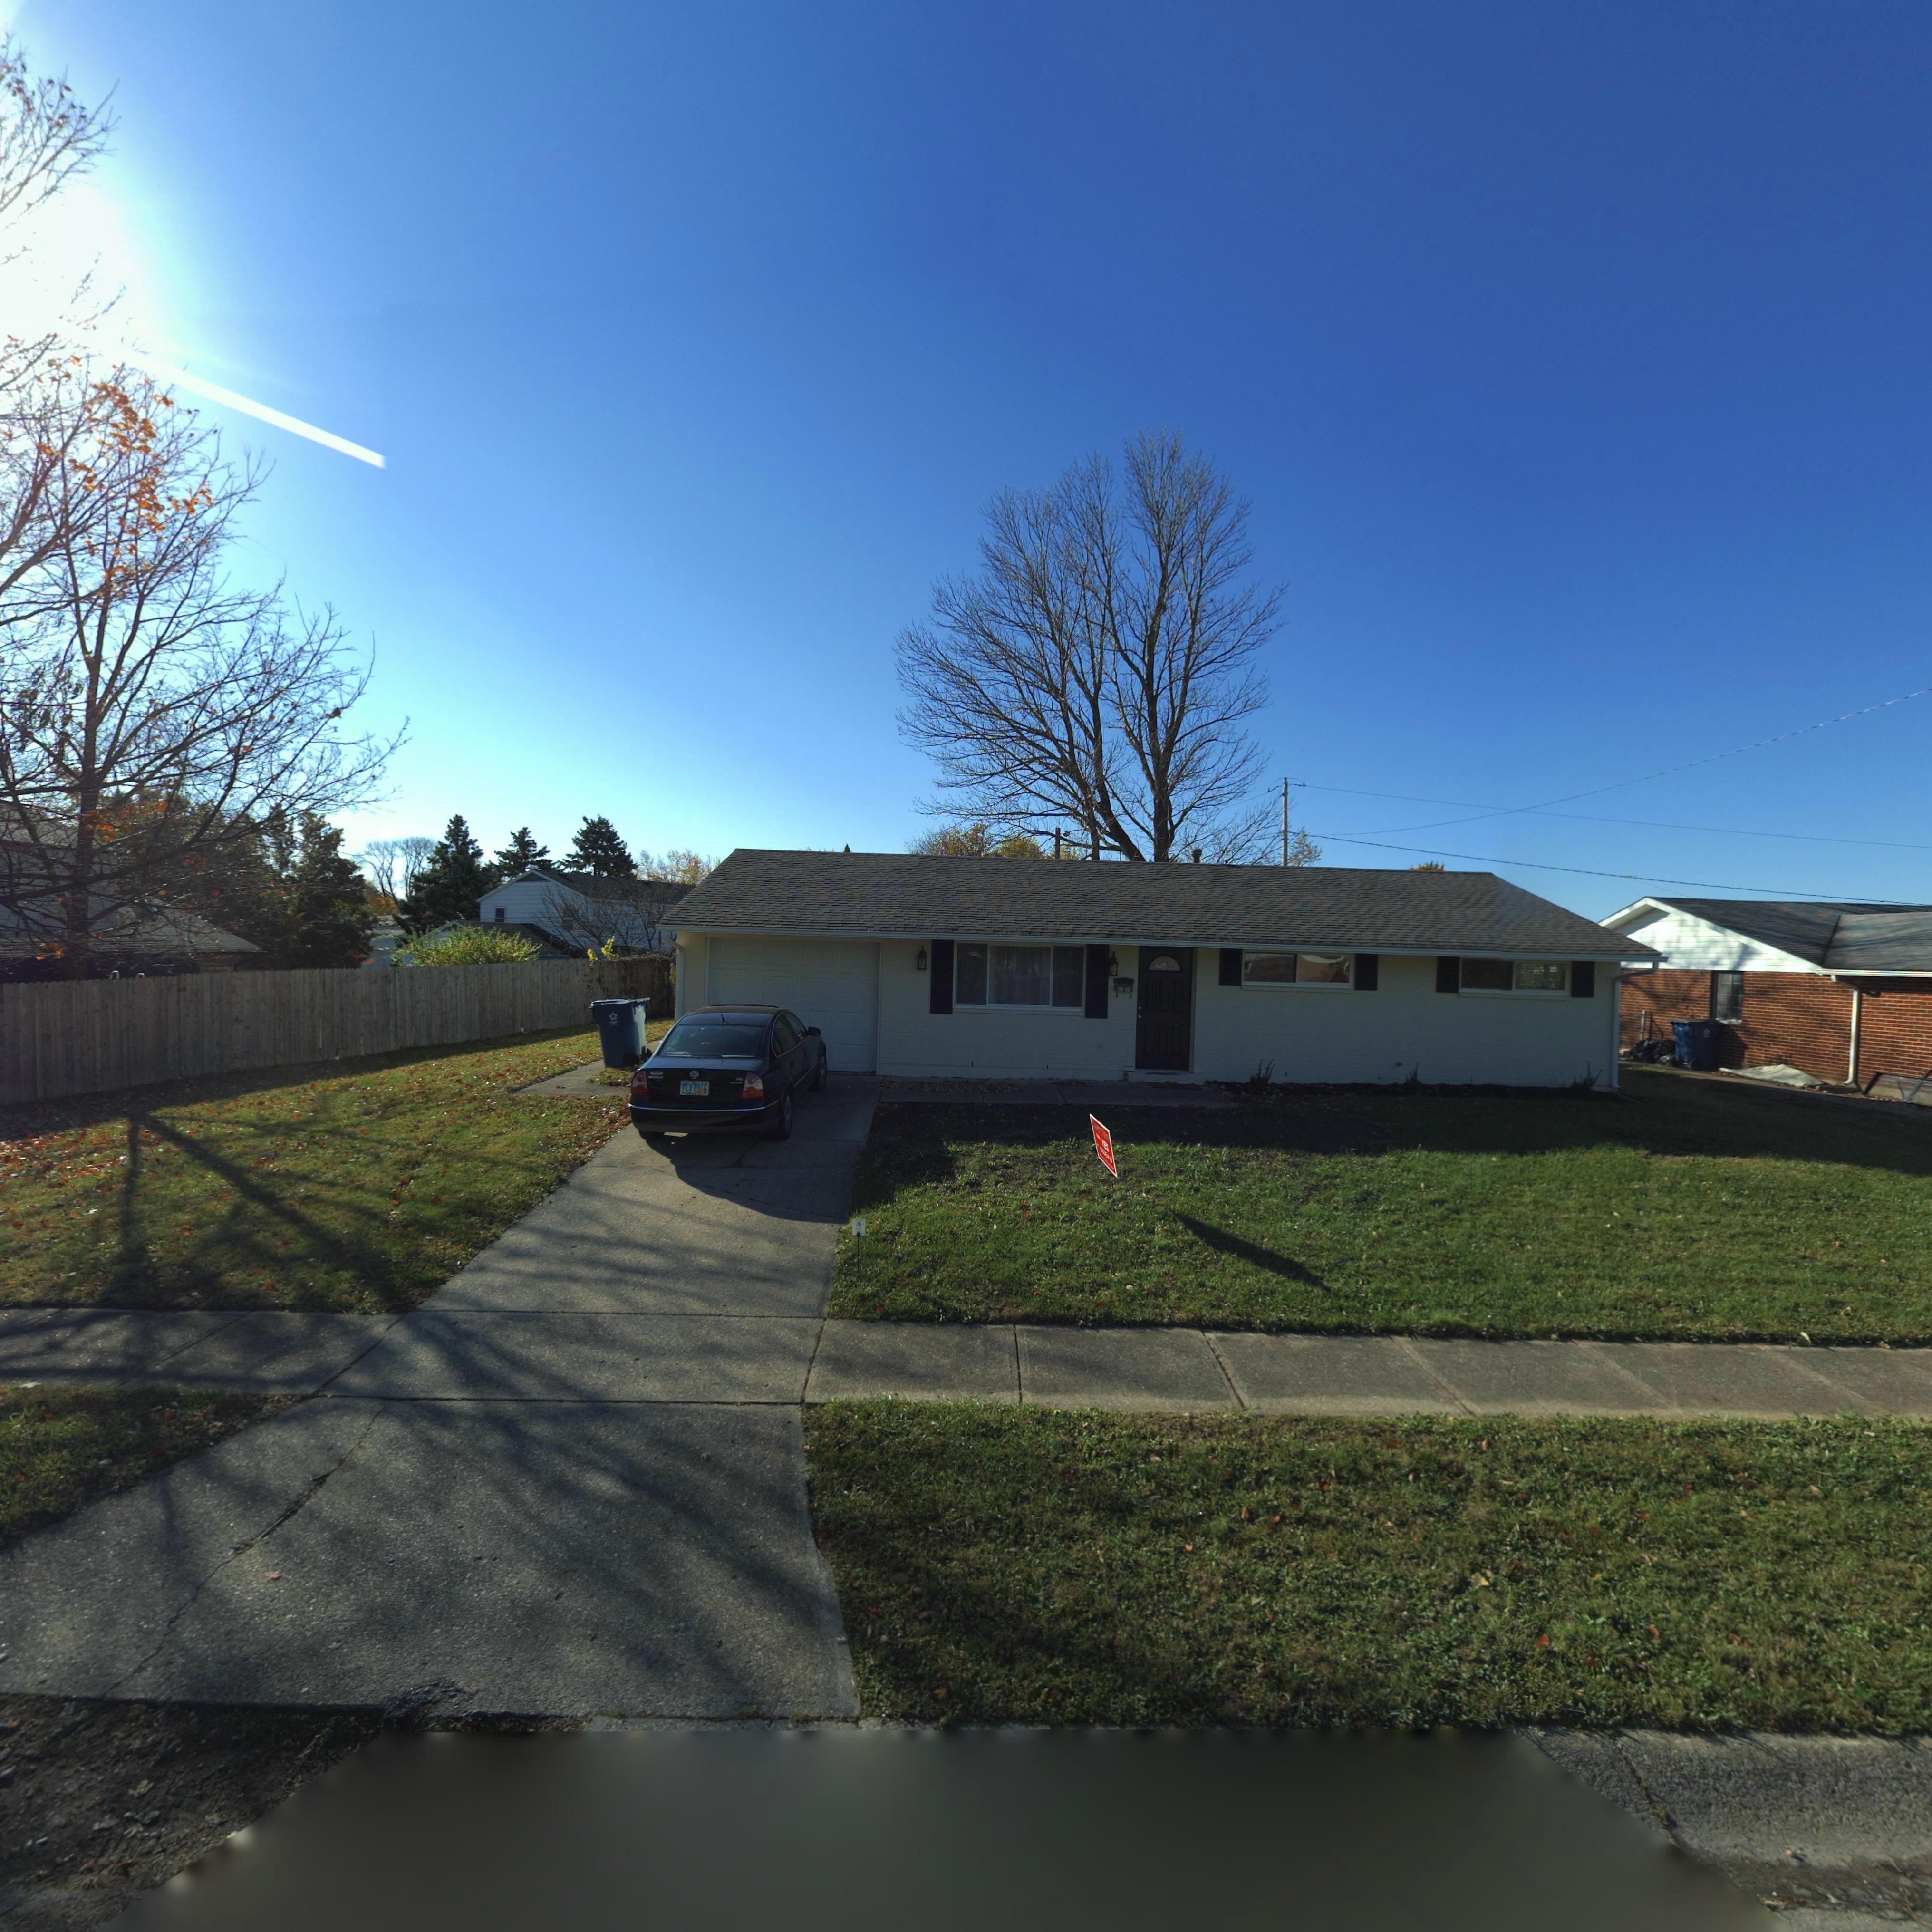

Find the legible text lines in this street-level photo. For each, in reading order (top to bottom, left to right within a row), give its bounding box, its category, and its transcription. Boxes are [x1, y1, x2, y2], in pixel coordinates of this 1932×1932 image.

[1118, 987, 1130, 992] StreetNumber: 62**